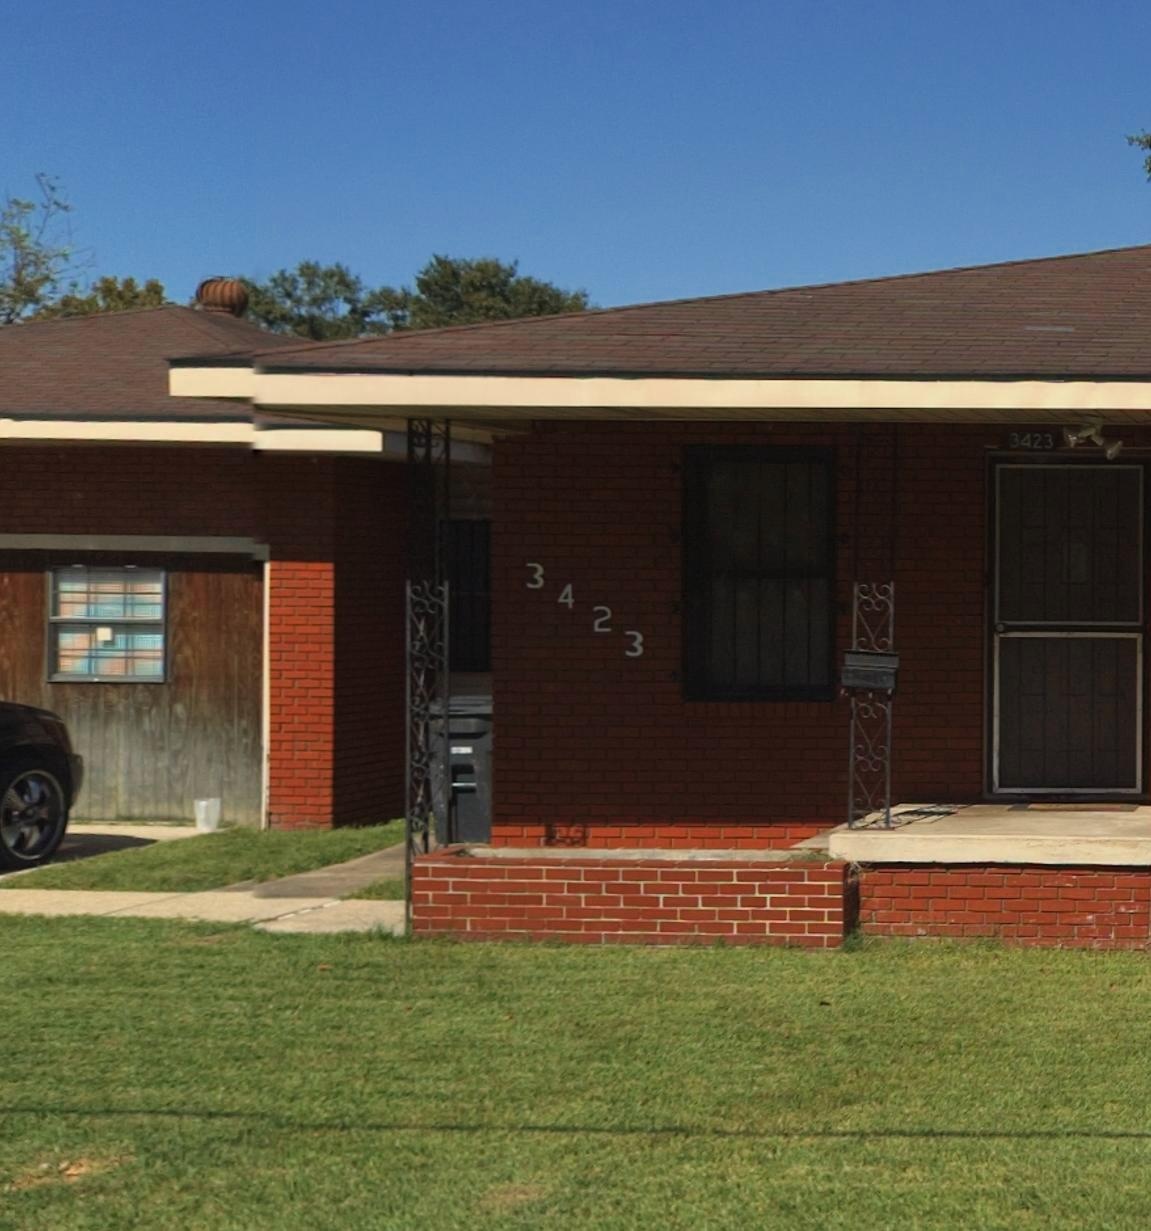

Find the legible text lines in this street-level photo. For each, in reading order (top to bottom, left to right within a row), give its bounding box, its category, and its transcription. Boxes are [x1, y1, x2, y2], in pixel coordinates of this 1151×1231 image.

[1009, 431, 1055, 450] StreetNumber: 3423
[523, 561, 649, 659] StreetNumber: 3423